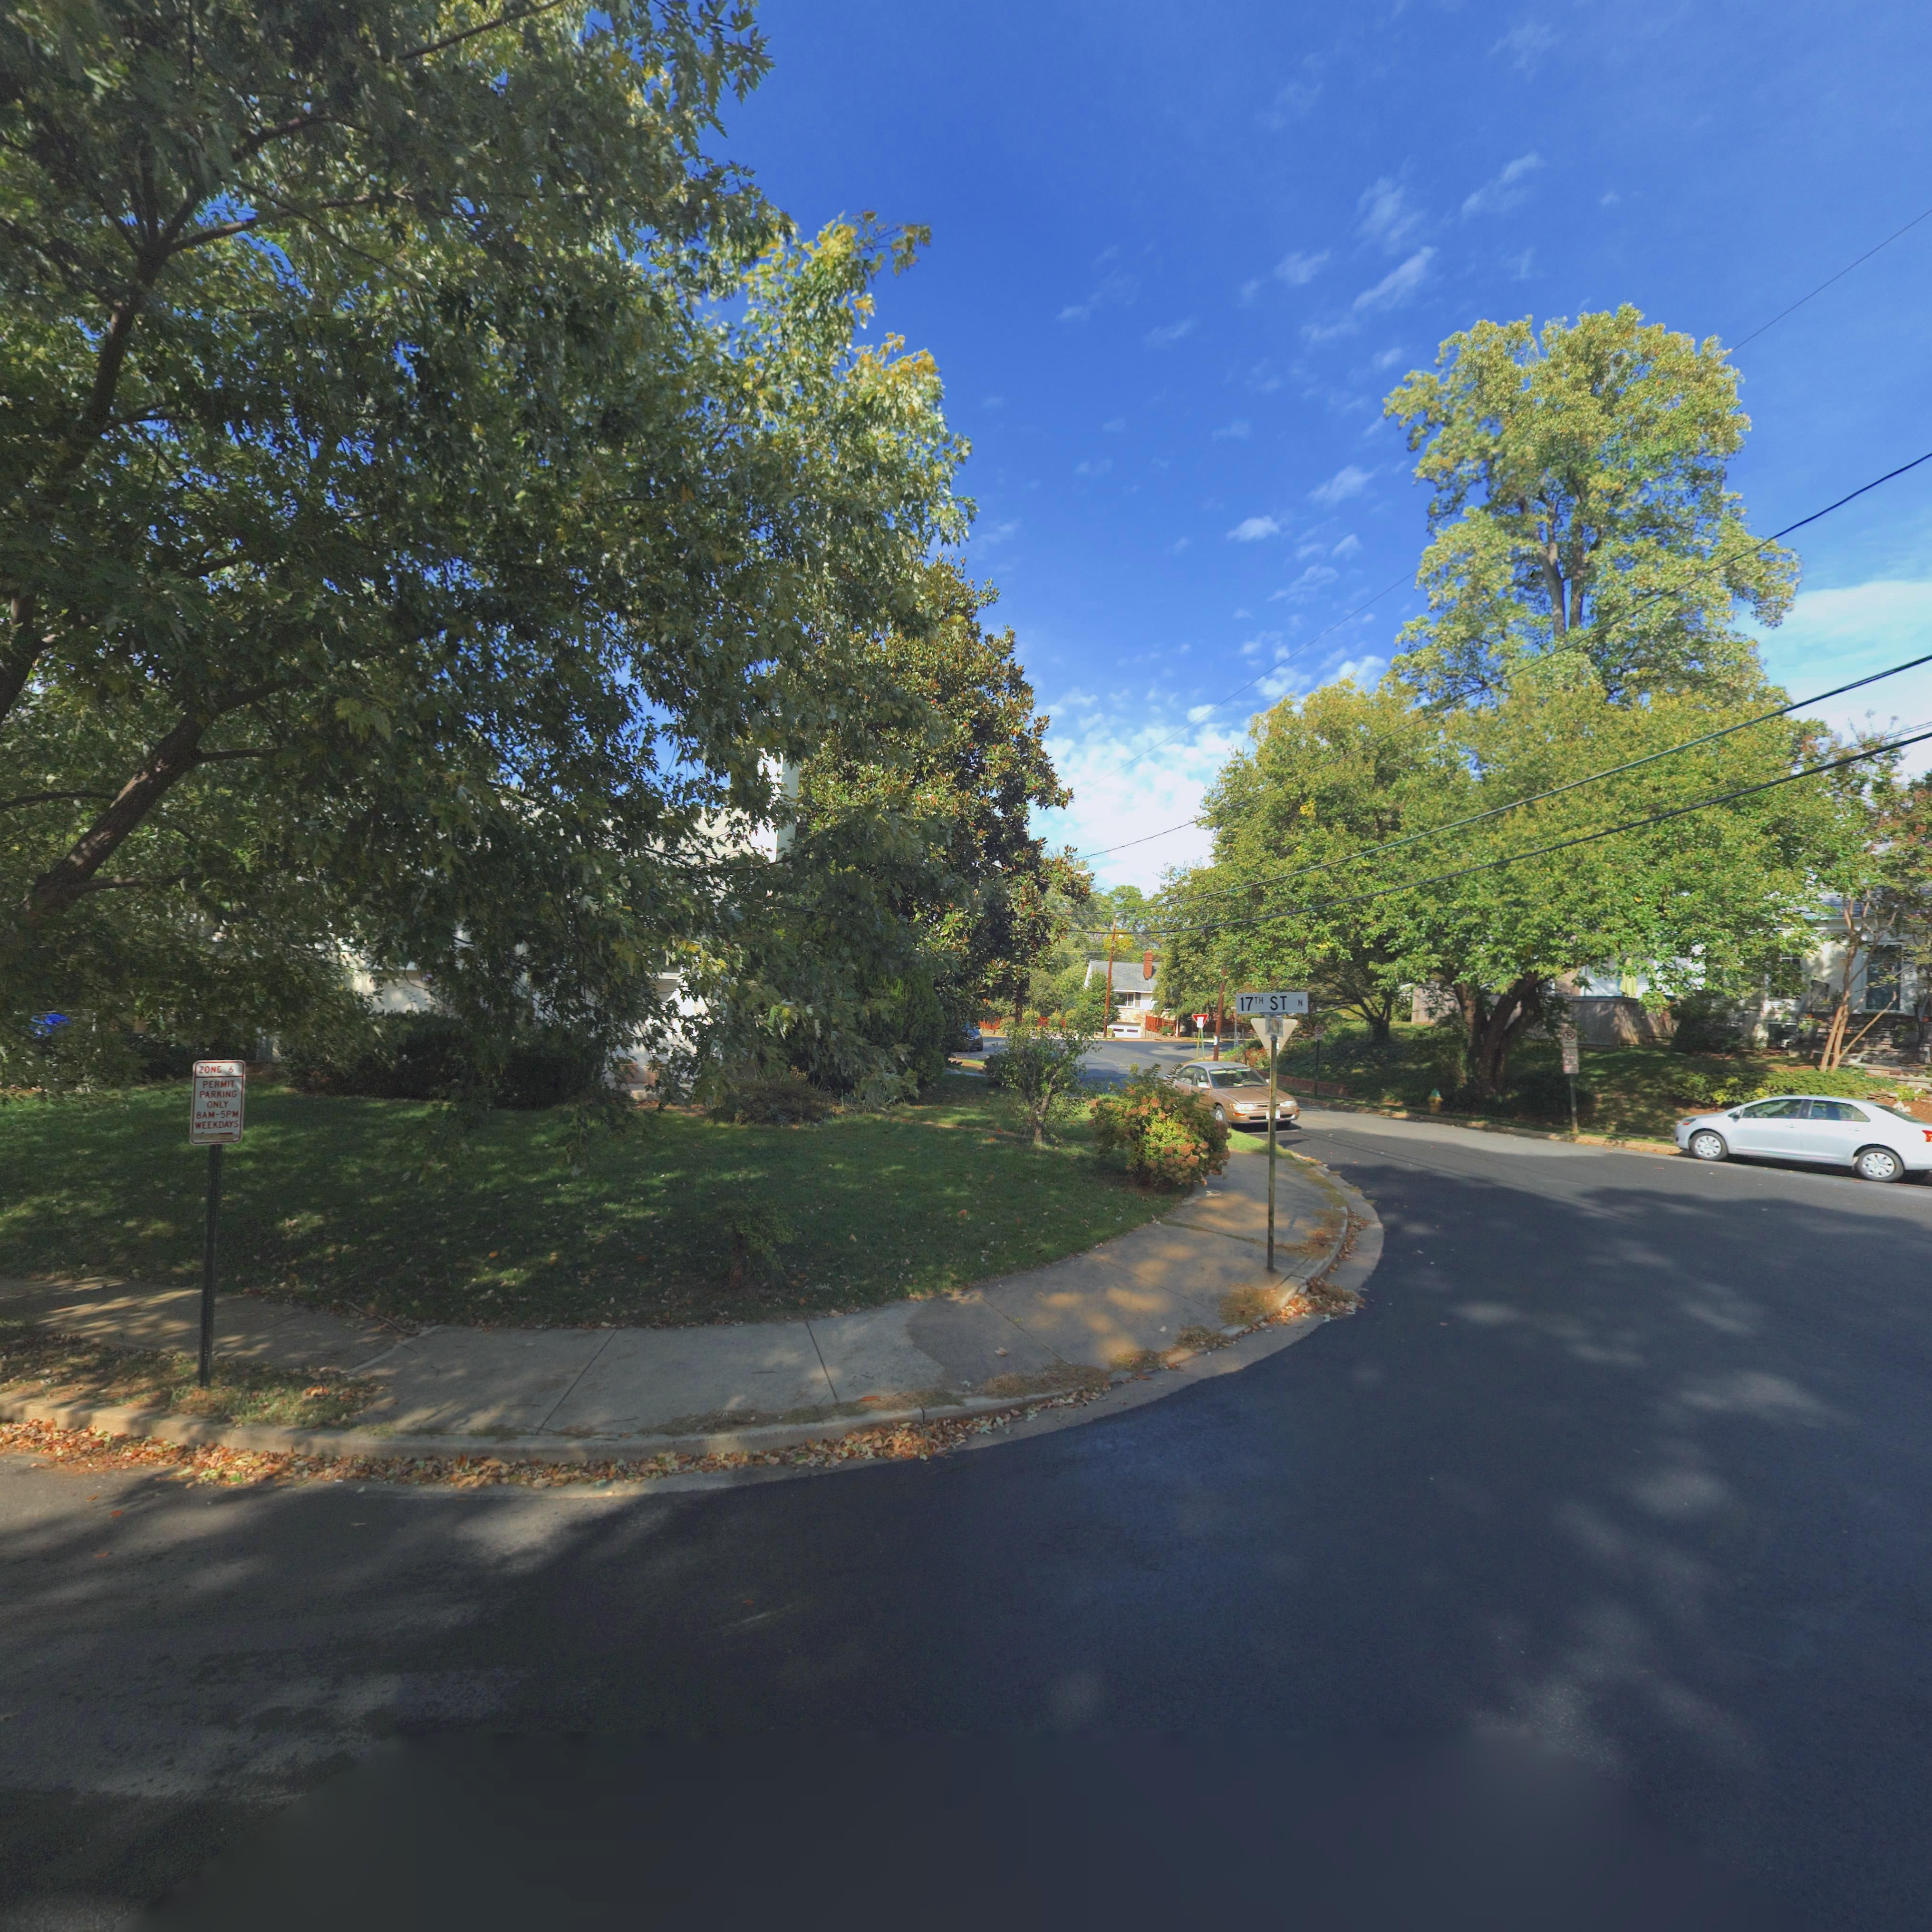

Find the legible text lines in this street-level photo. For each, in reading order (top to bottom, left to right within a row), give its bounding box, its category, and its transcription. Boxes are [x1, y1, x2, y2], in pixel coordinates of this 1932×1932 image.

[1238, 994, 1304, 1012] StreetName: 17TH ST N
[197, 1065, 234, 1074] None: ZONE 6
[201, 1079, 236, 1089] None: PERMIT
[198, 1089, 238, 1100] None: PARKING
[205, 1099, 231, 1110] None: ONLY
[194, 1109, 241, 1121] None: 8AM-5PM
[193, 1119, 240, 1130] None: WEEKDAYS